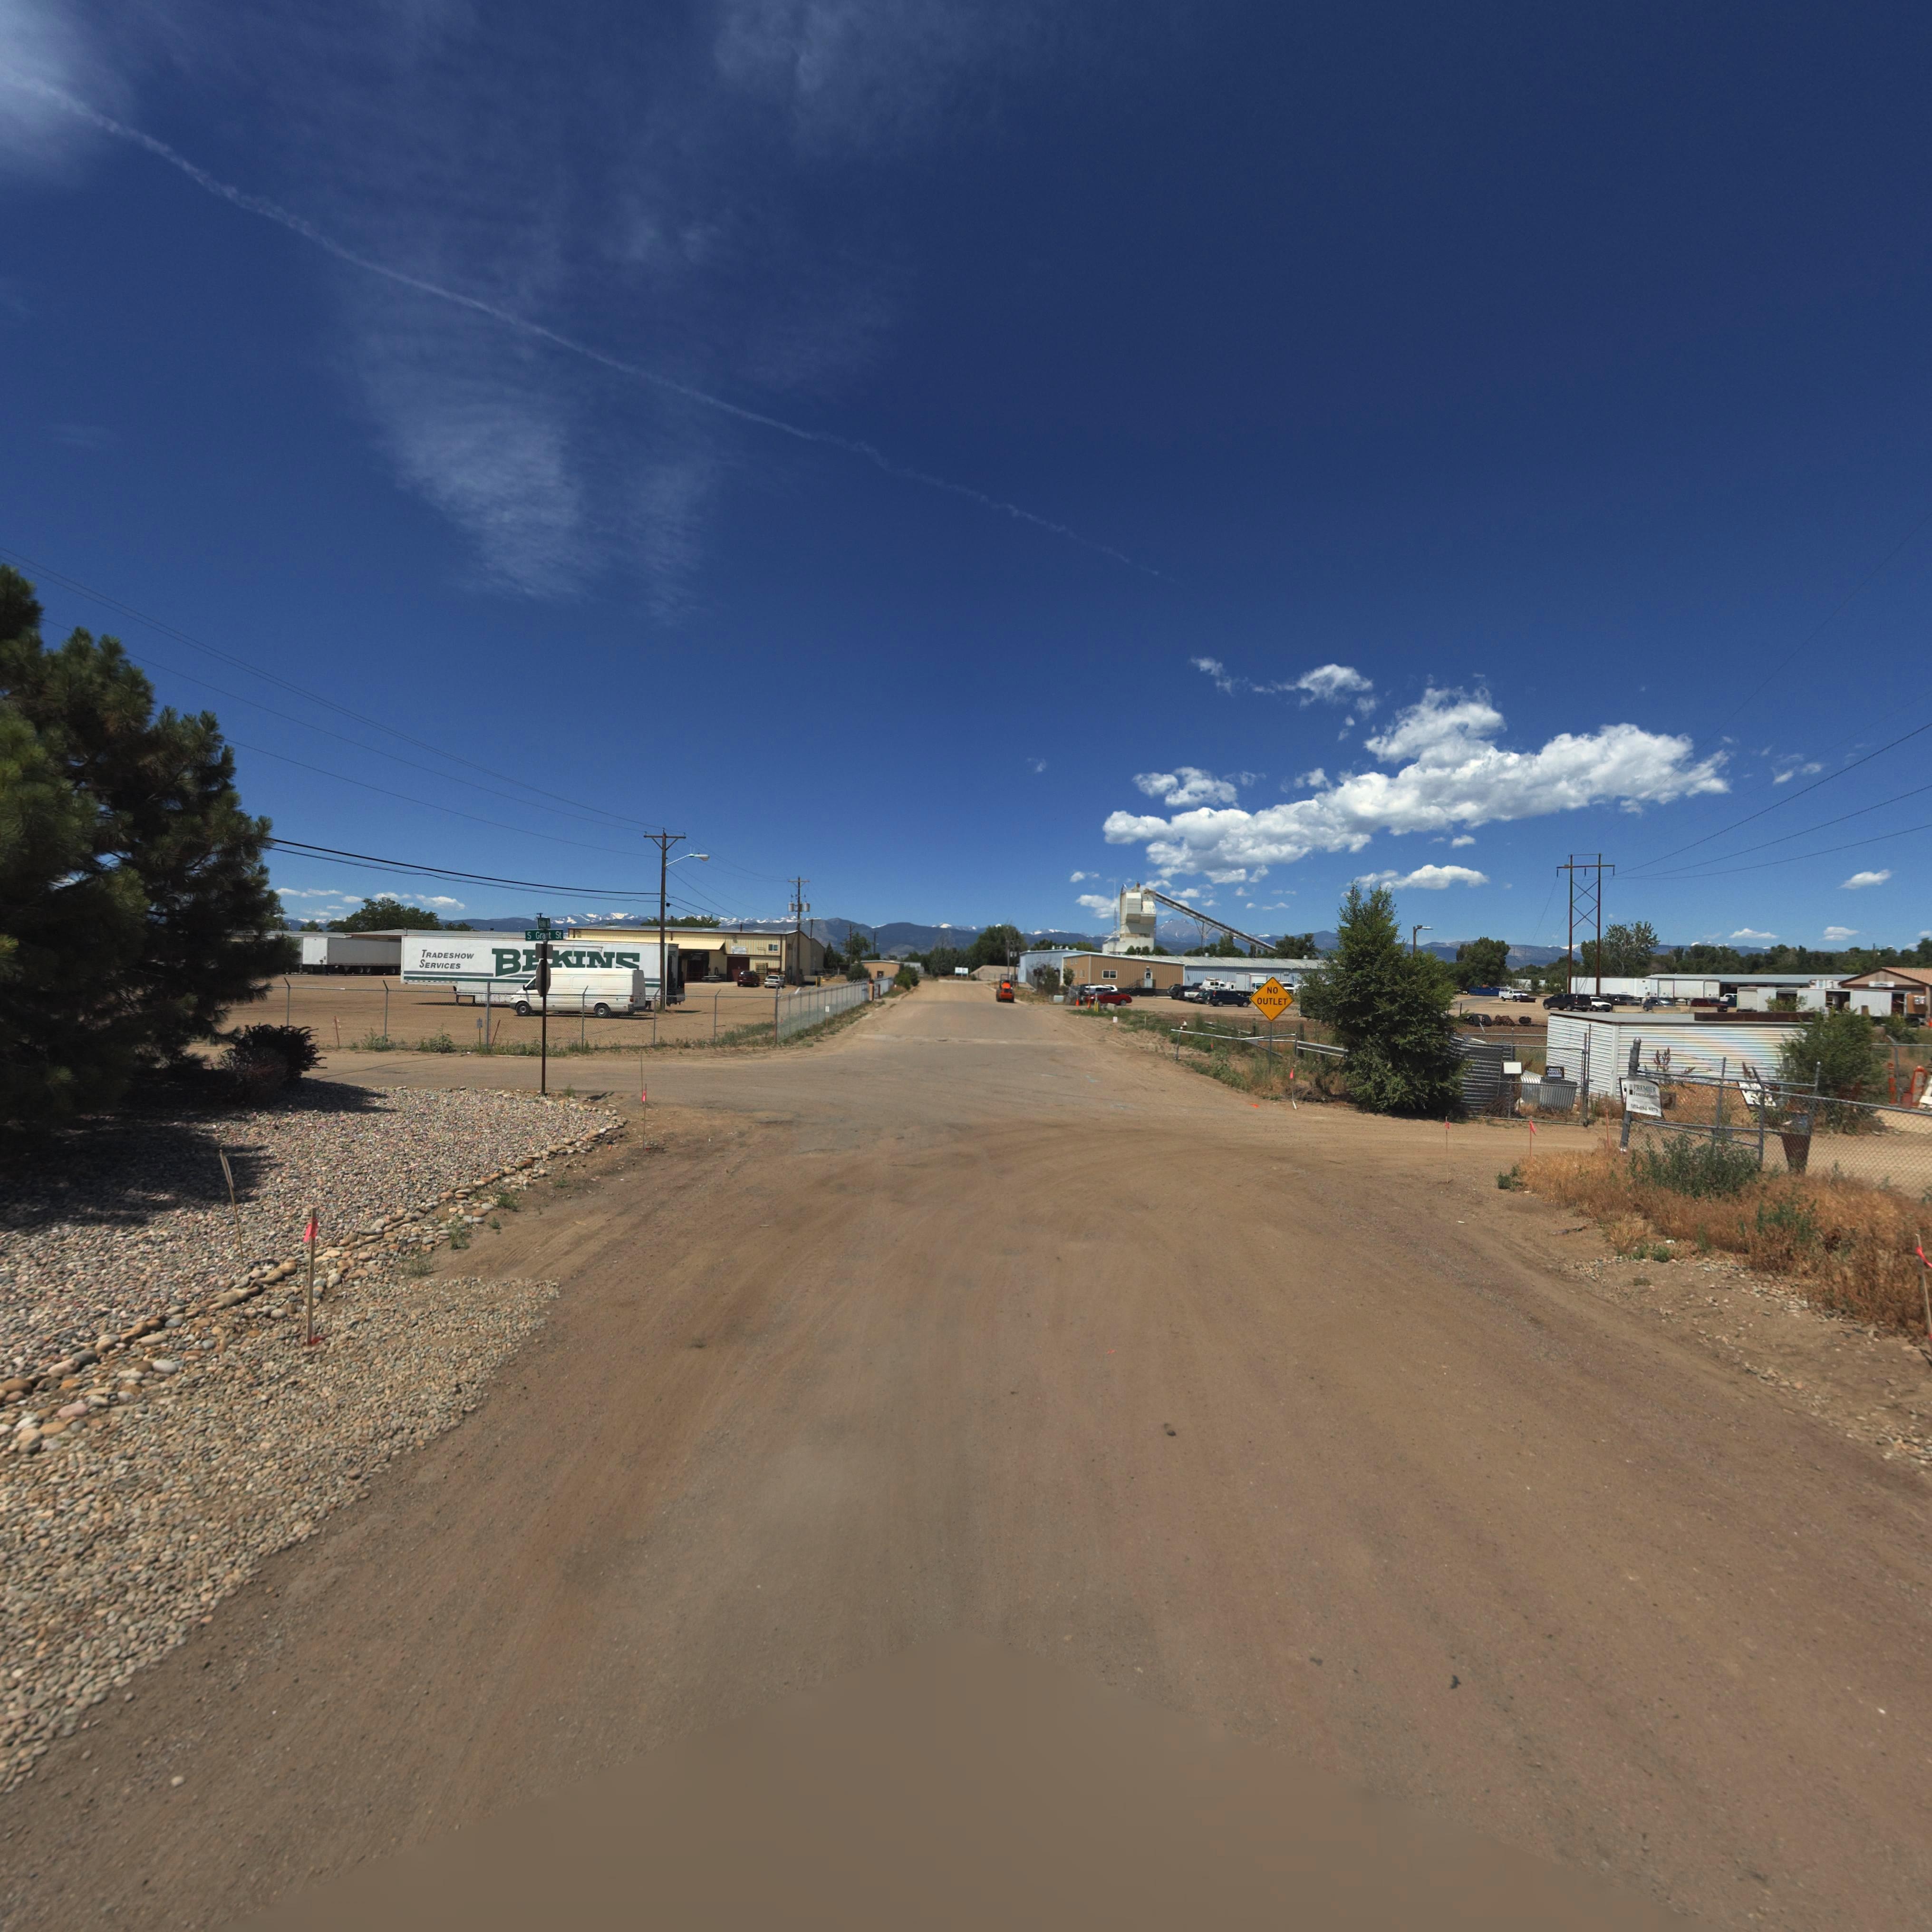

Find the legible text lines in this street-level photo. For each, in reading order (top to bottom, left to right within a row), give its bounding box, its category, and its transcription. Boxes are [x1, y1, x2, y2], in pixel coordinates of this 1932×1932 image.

[538, 918, 550, 927] StreetName: Alaska Av
[526, 930, 562, 940] StreetName: S Grant St